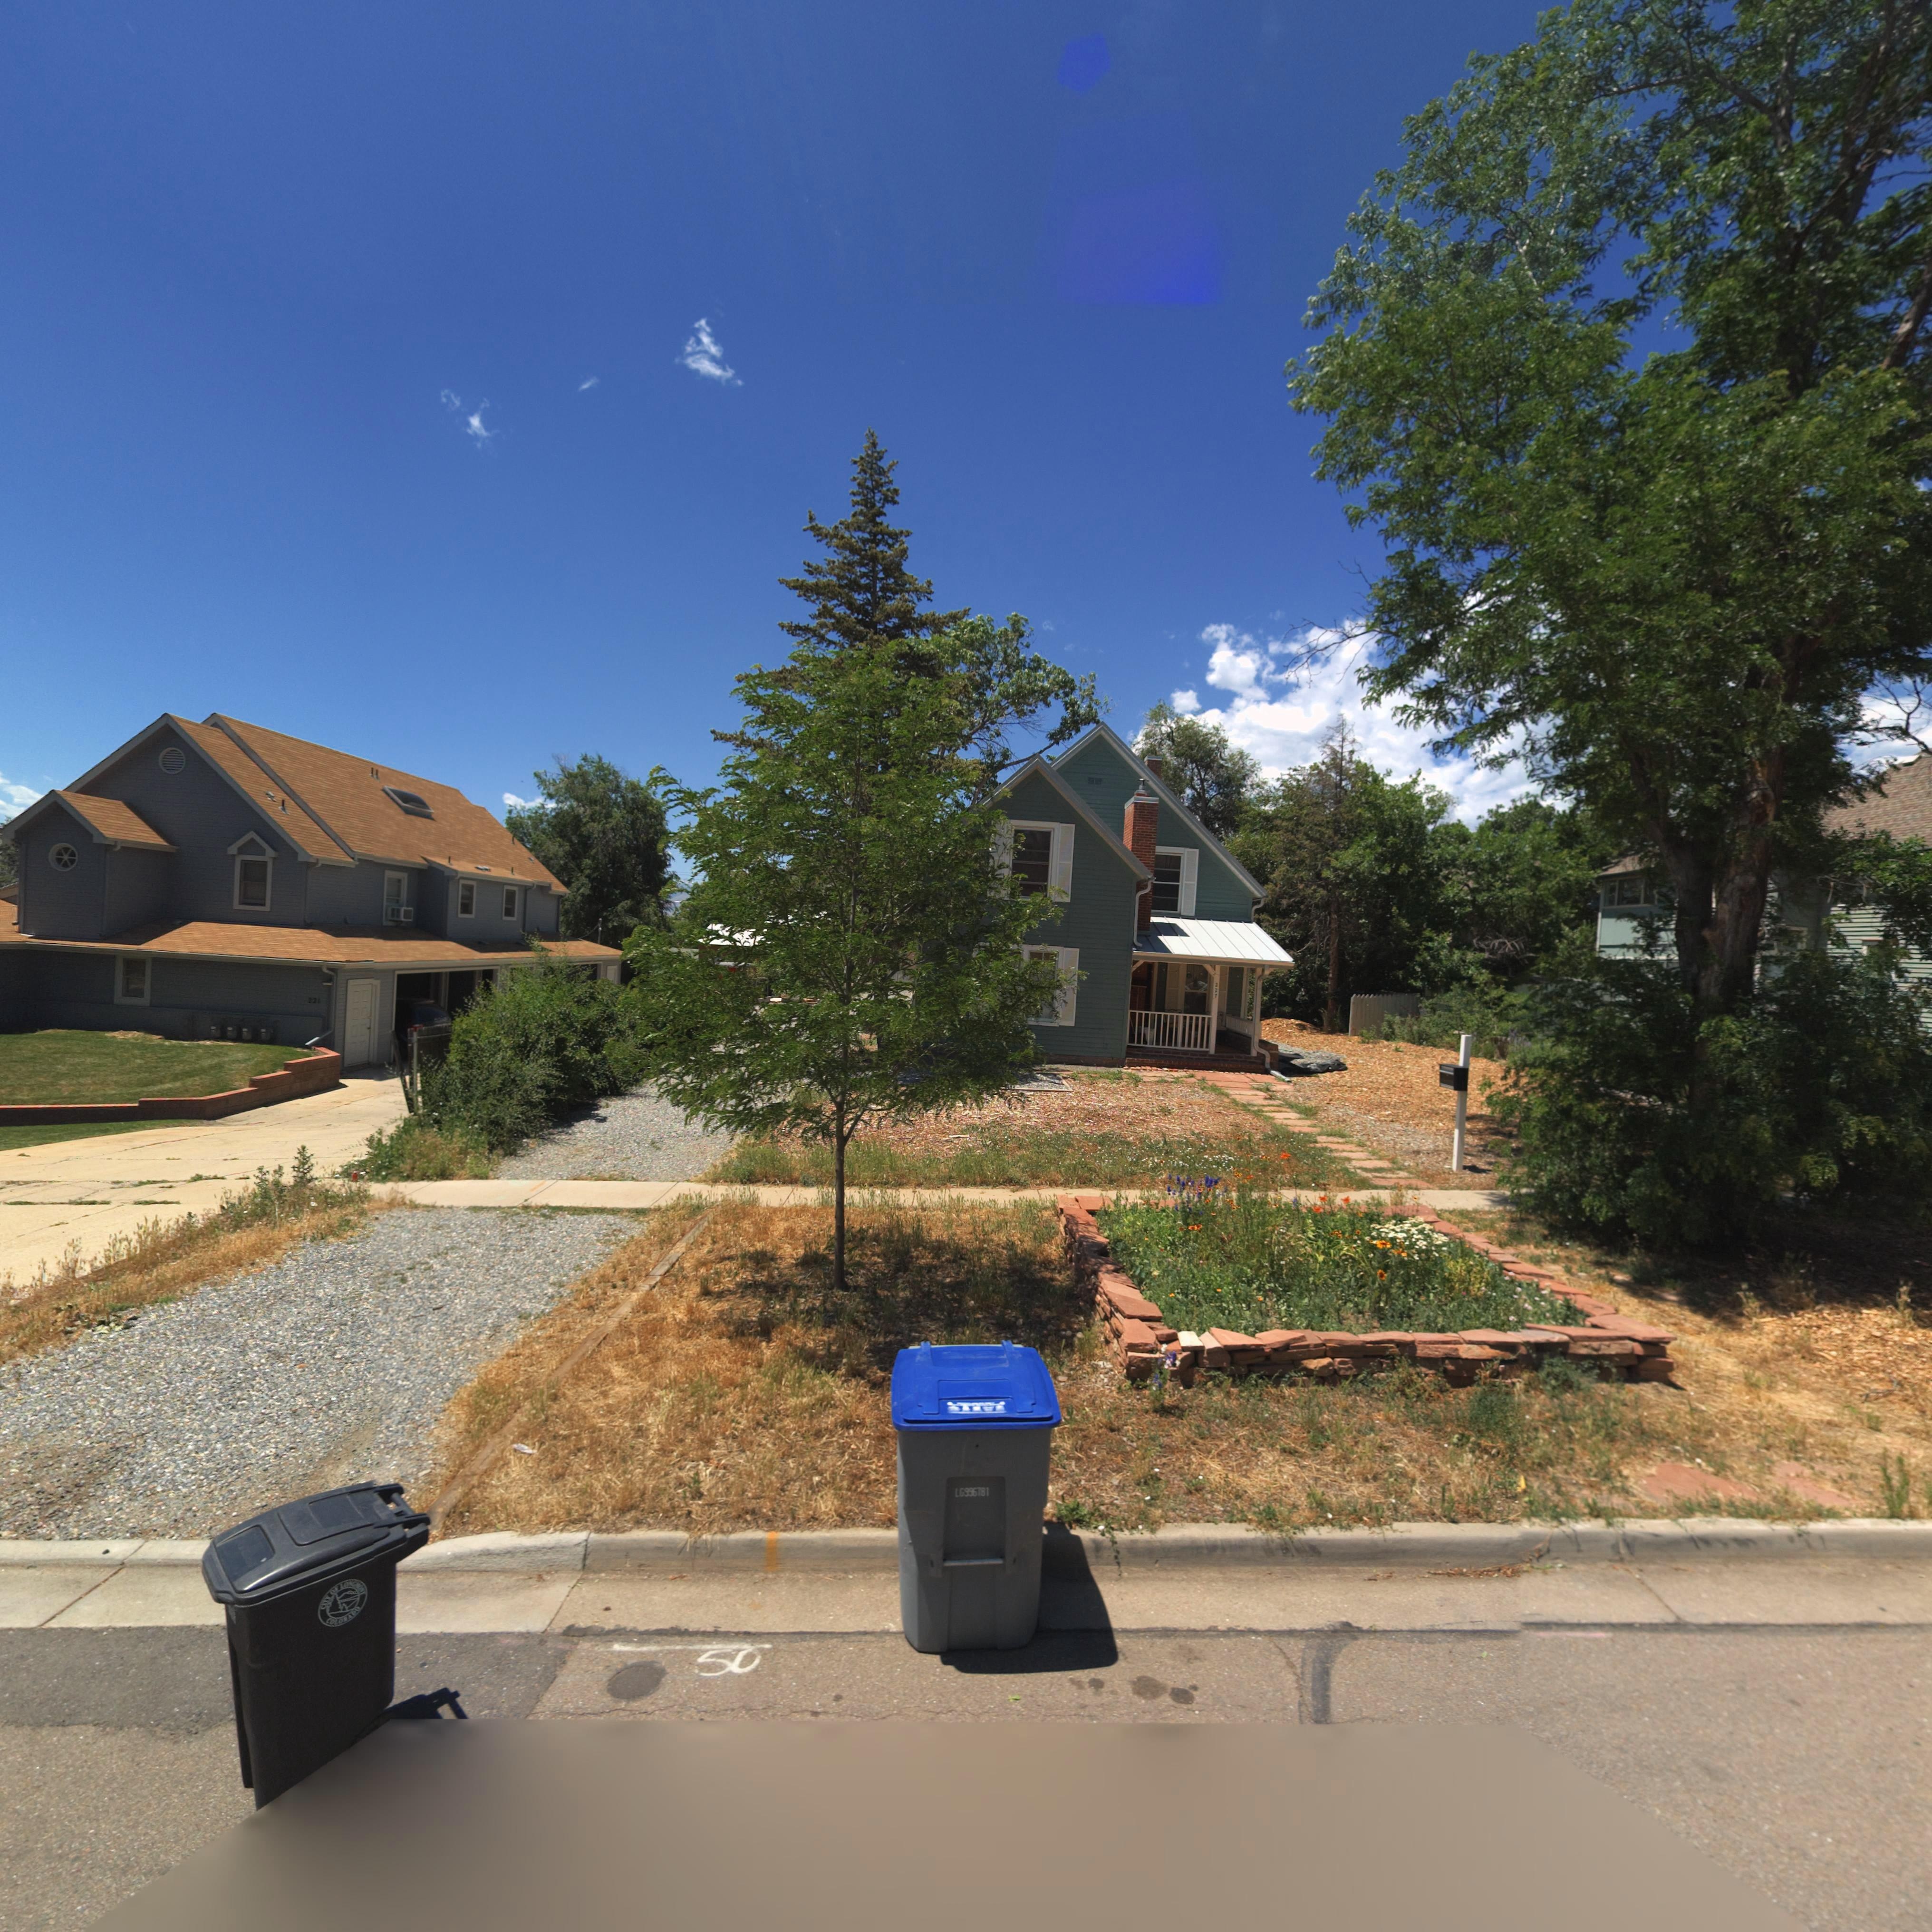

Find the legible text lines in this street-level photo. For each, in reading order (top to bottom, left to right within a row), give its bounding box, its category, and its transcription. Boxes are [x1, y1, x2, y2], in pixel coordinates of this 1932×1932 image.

[1214, 982, 1218, 999] StreetNumber: 22*
[307, 997, 321, 1004] StreetNumber: 221